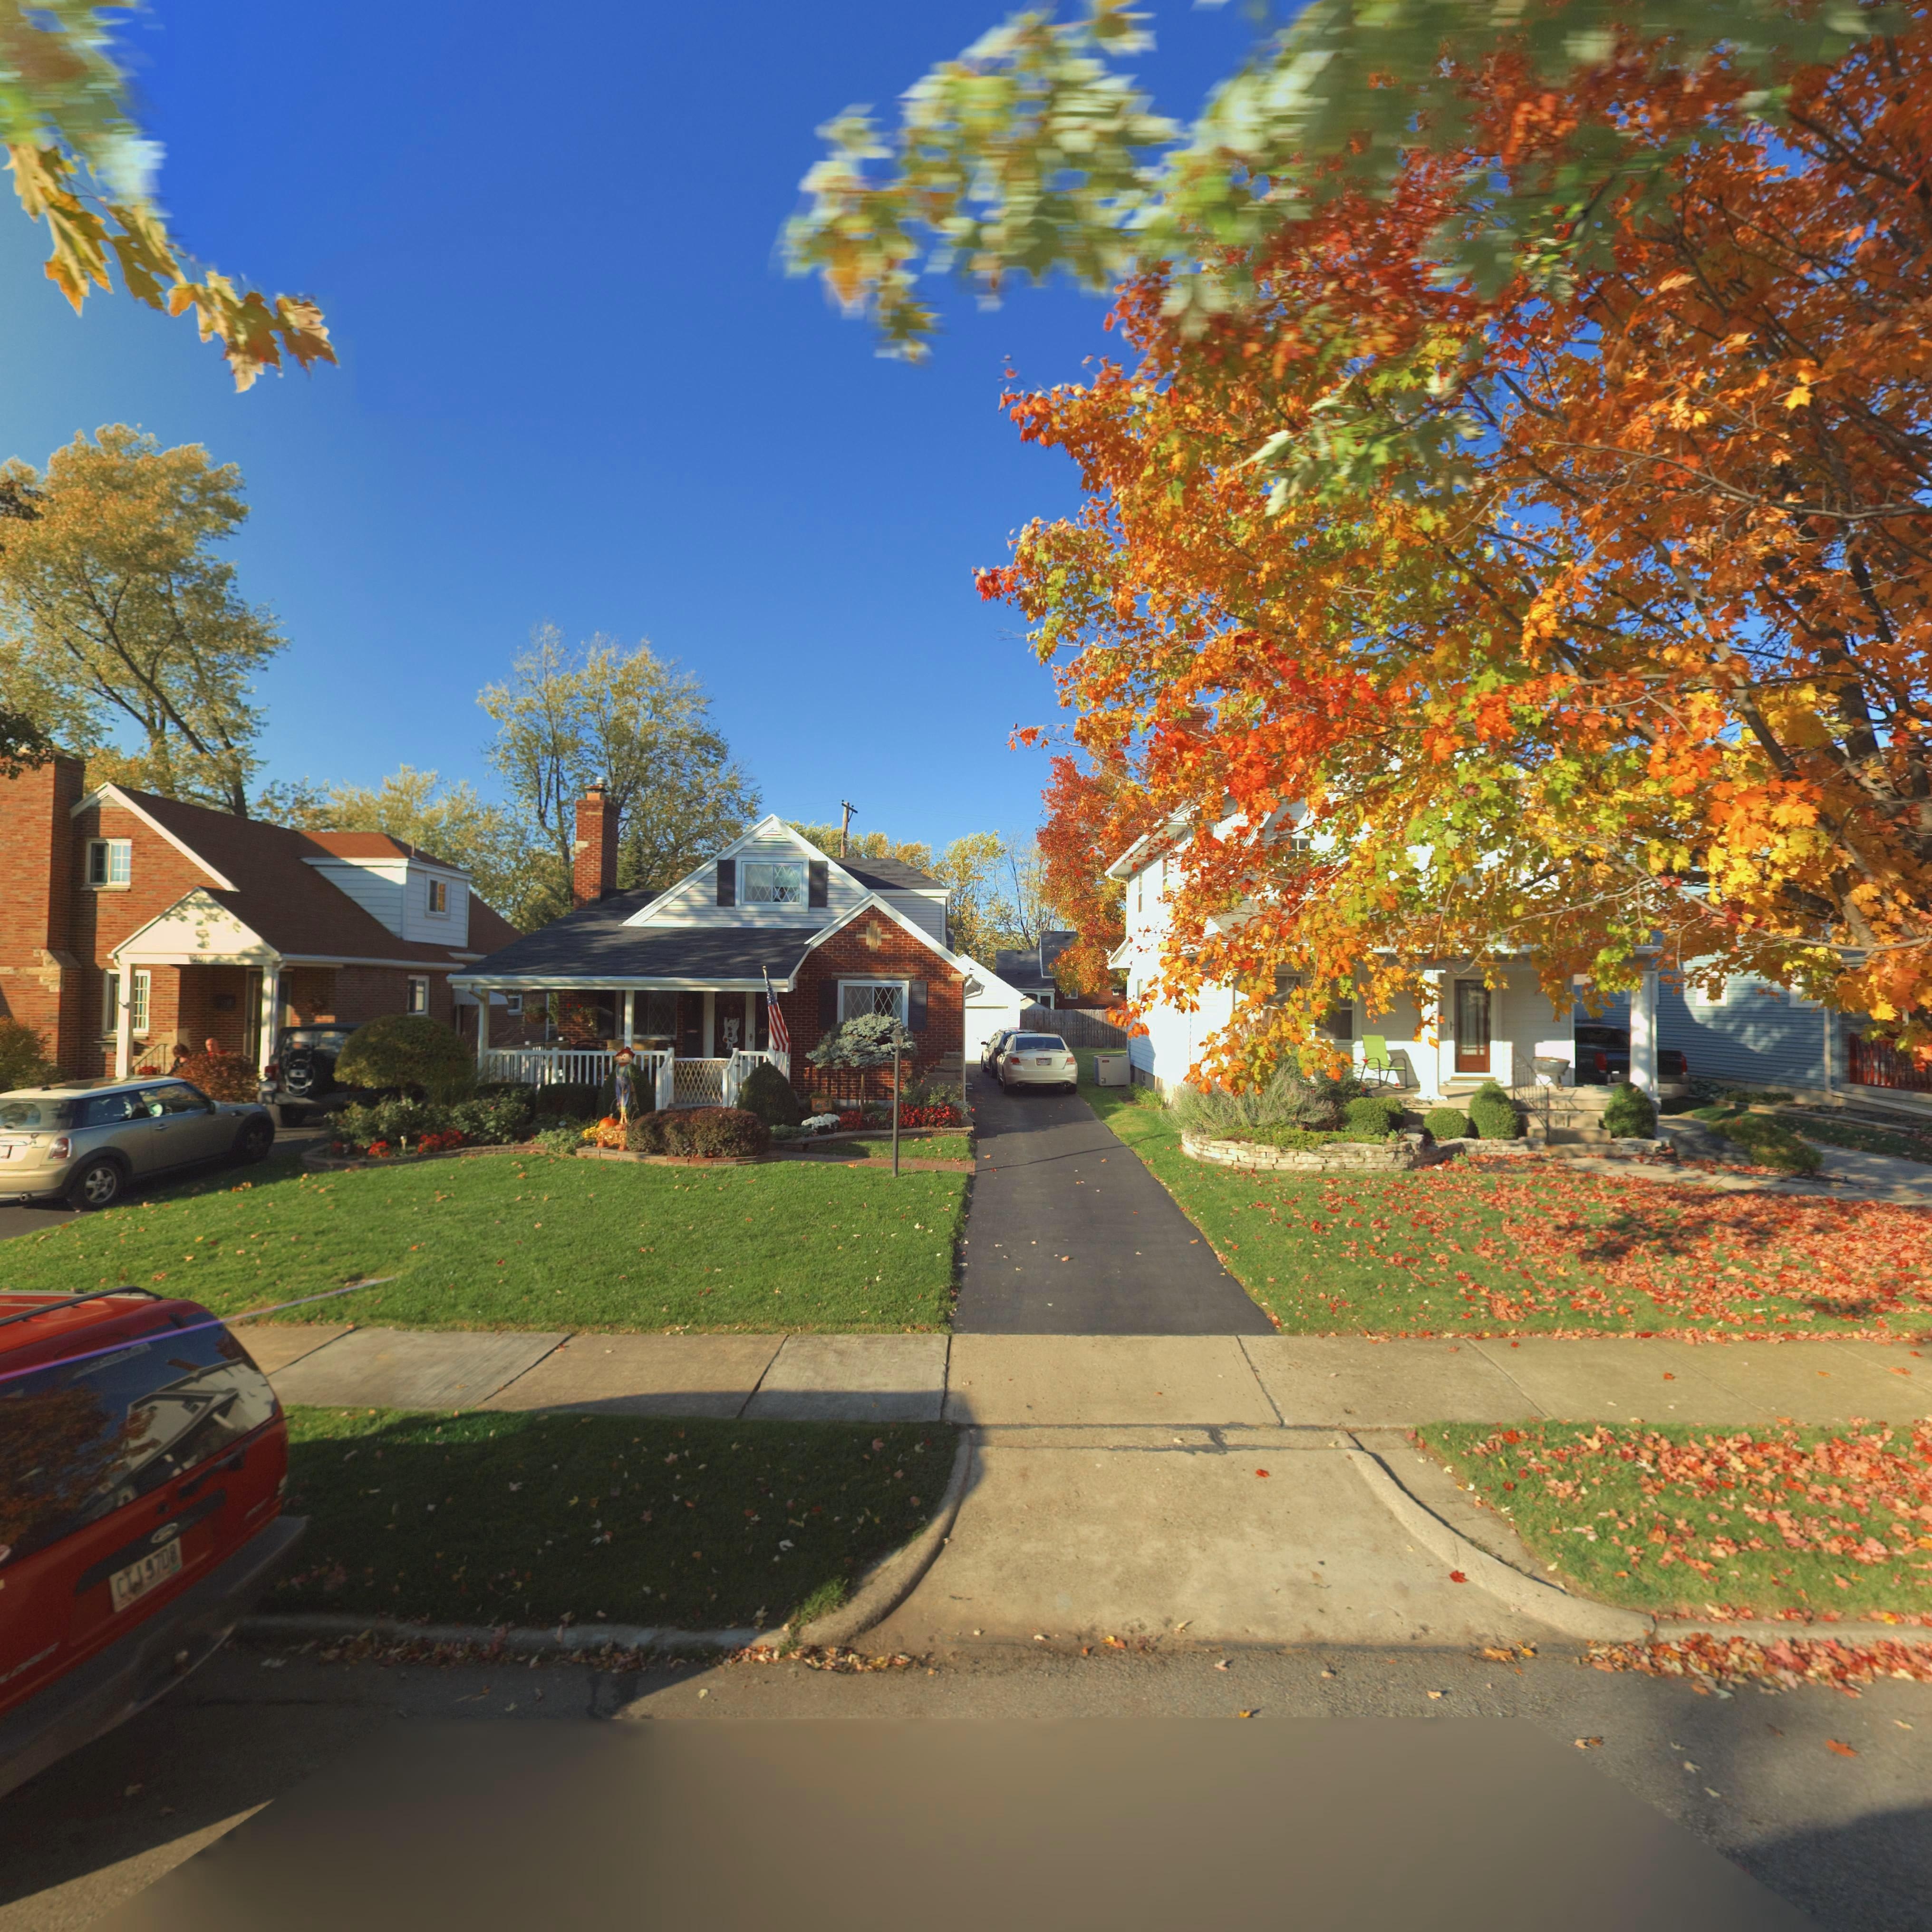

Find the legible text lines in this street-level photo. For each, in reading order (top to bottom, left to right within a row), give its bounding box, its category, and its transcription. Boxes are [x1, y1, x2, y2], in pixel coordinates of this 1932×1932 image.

[758, 1028, 771, 1034] StreetNumber: 20*